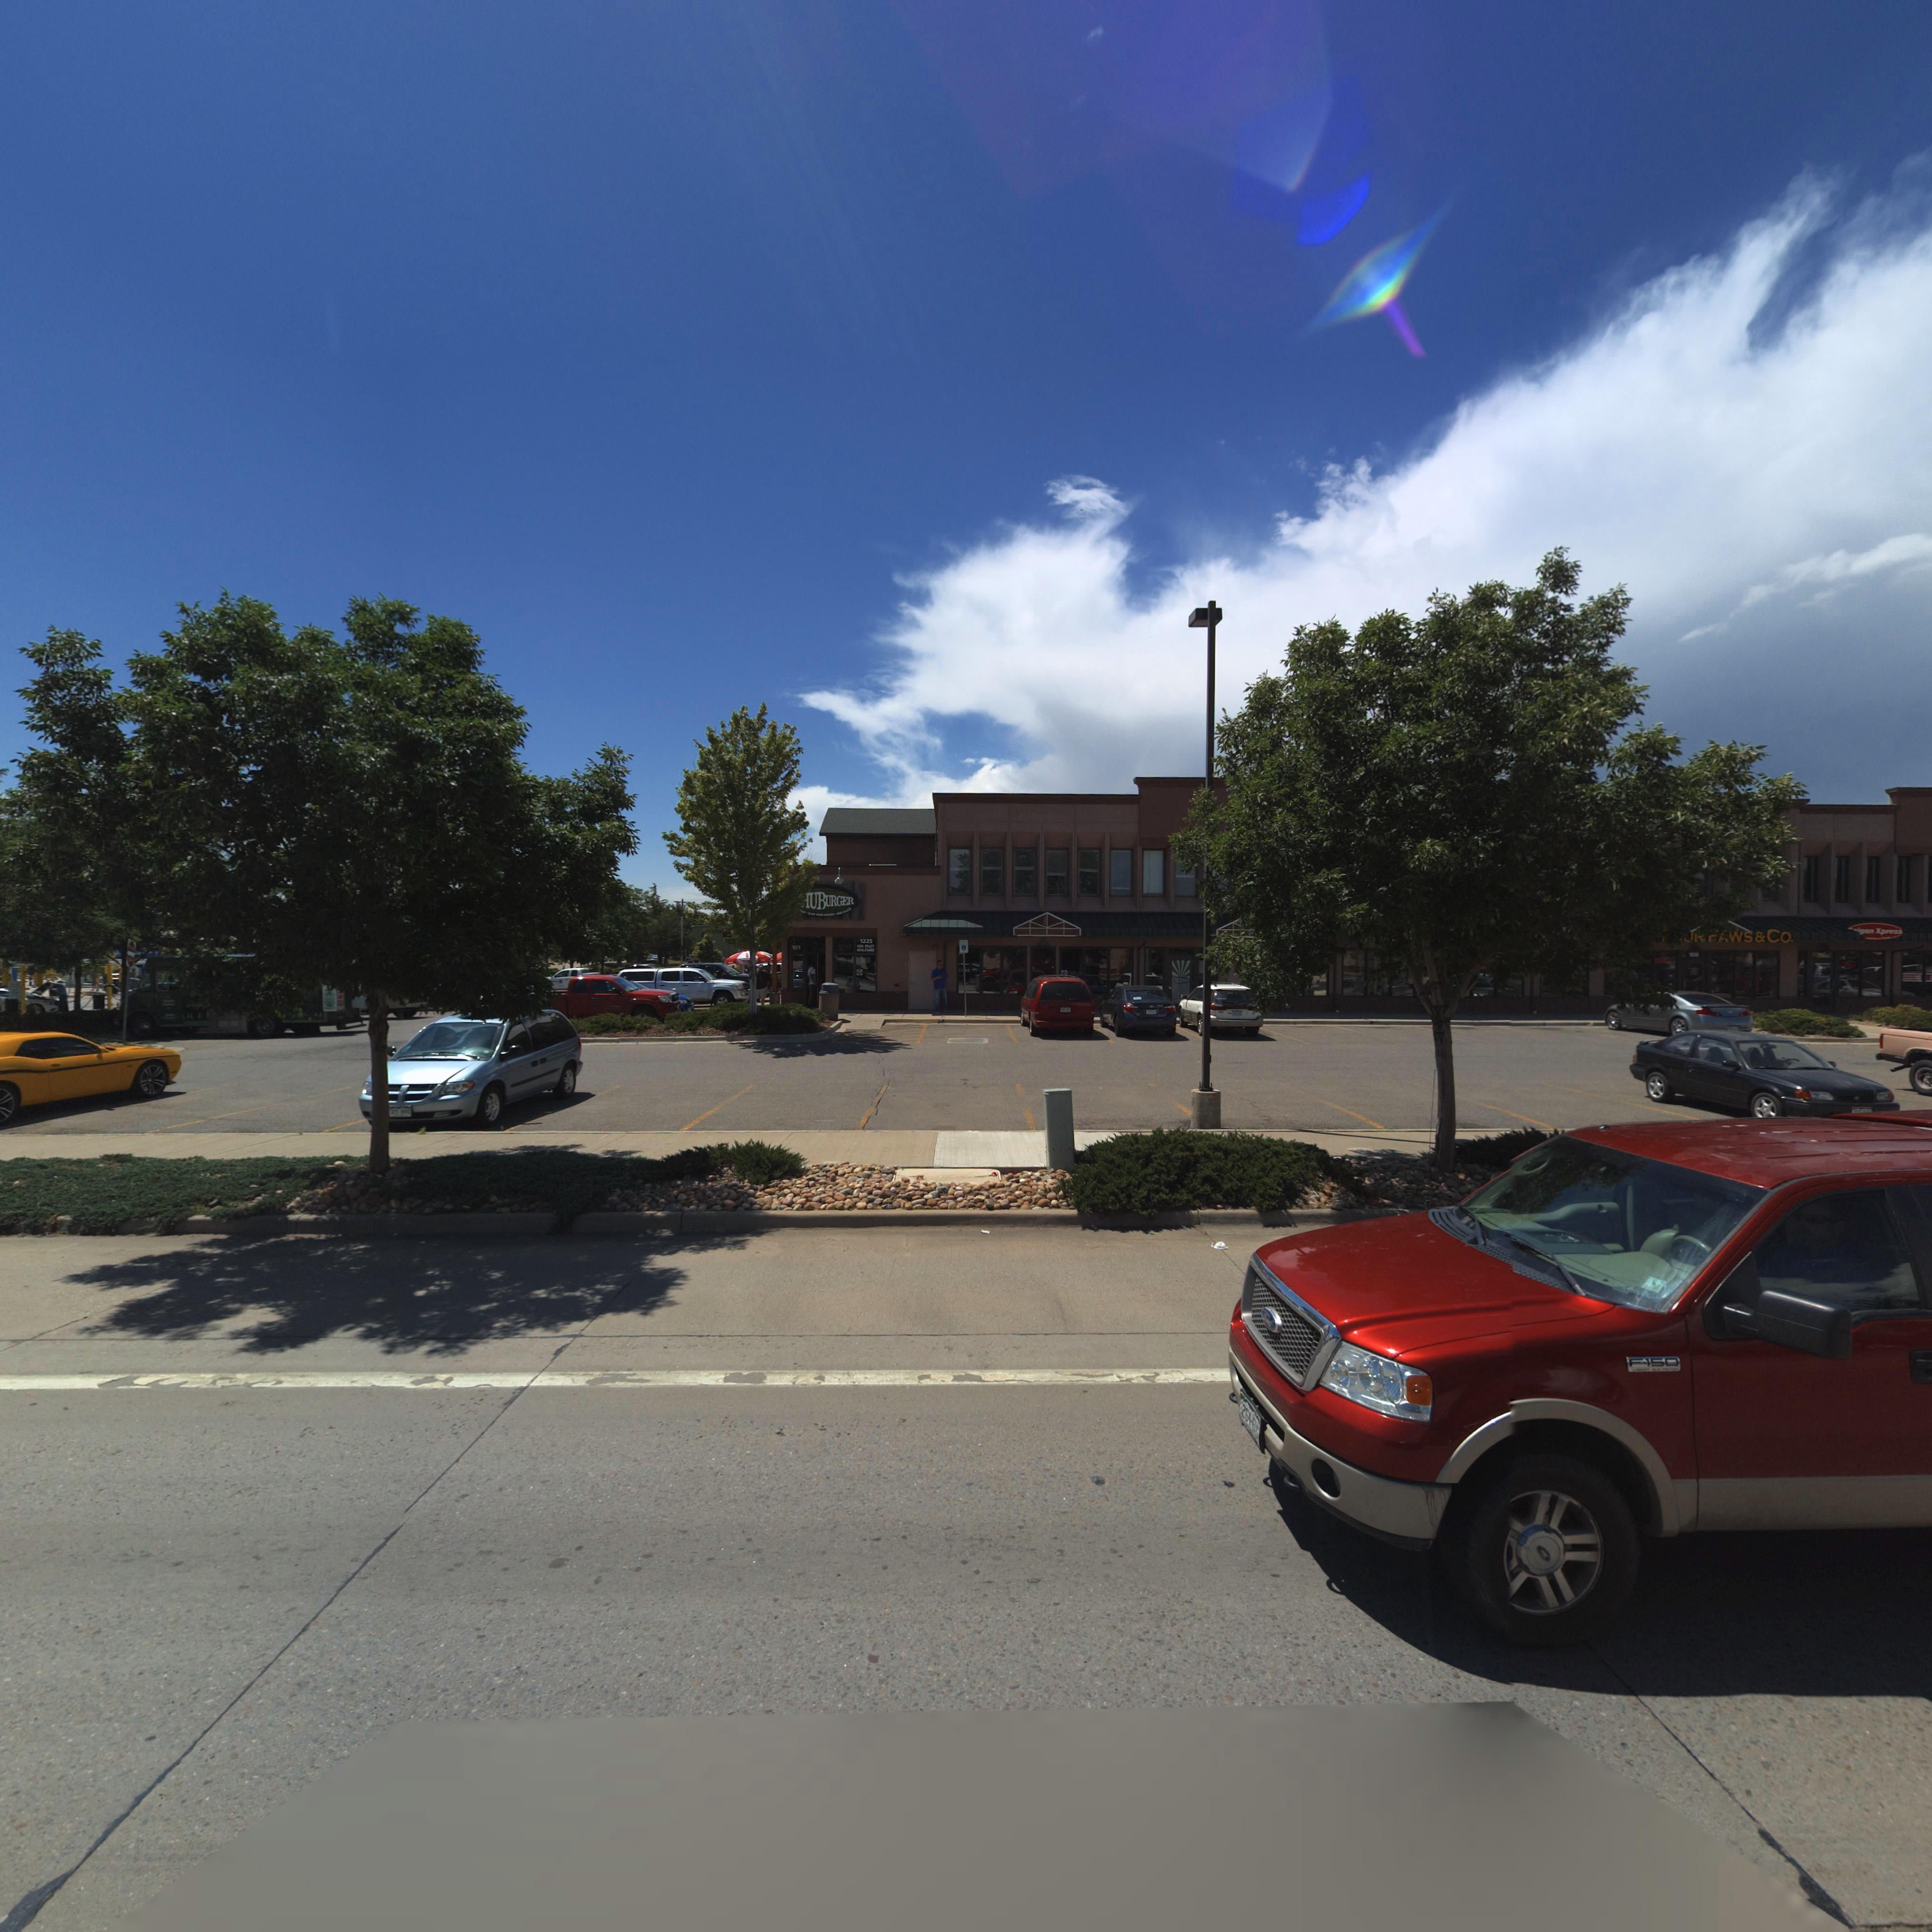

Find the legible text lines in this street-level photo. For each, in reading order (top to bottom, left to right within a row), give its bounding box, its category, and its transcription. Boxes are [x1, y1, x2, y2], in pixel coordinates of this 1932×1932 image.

[808, 891, 854, 910] BusinessName: UBURGER
[1859, 927, 1903, 935] BusinessName: gon Xpress
[1729, 928, 1794, 942] BusinessName: WS&CO.
[860, 938, 872, 943] StreetNumber: 1225
[792, 945, 800, 949] StreetNumber: 101